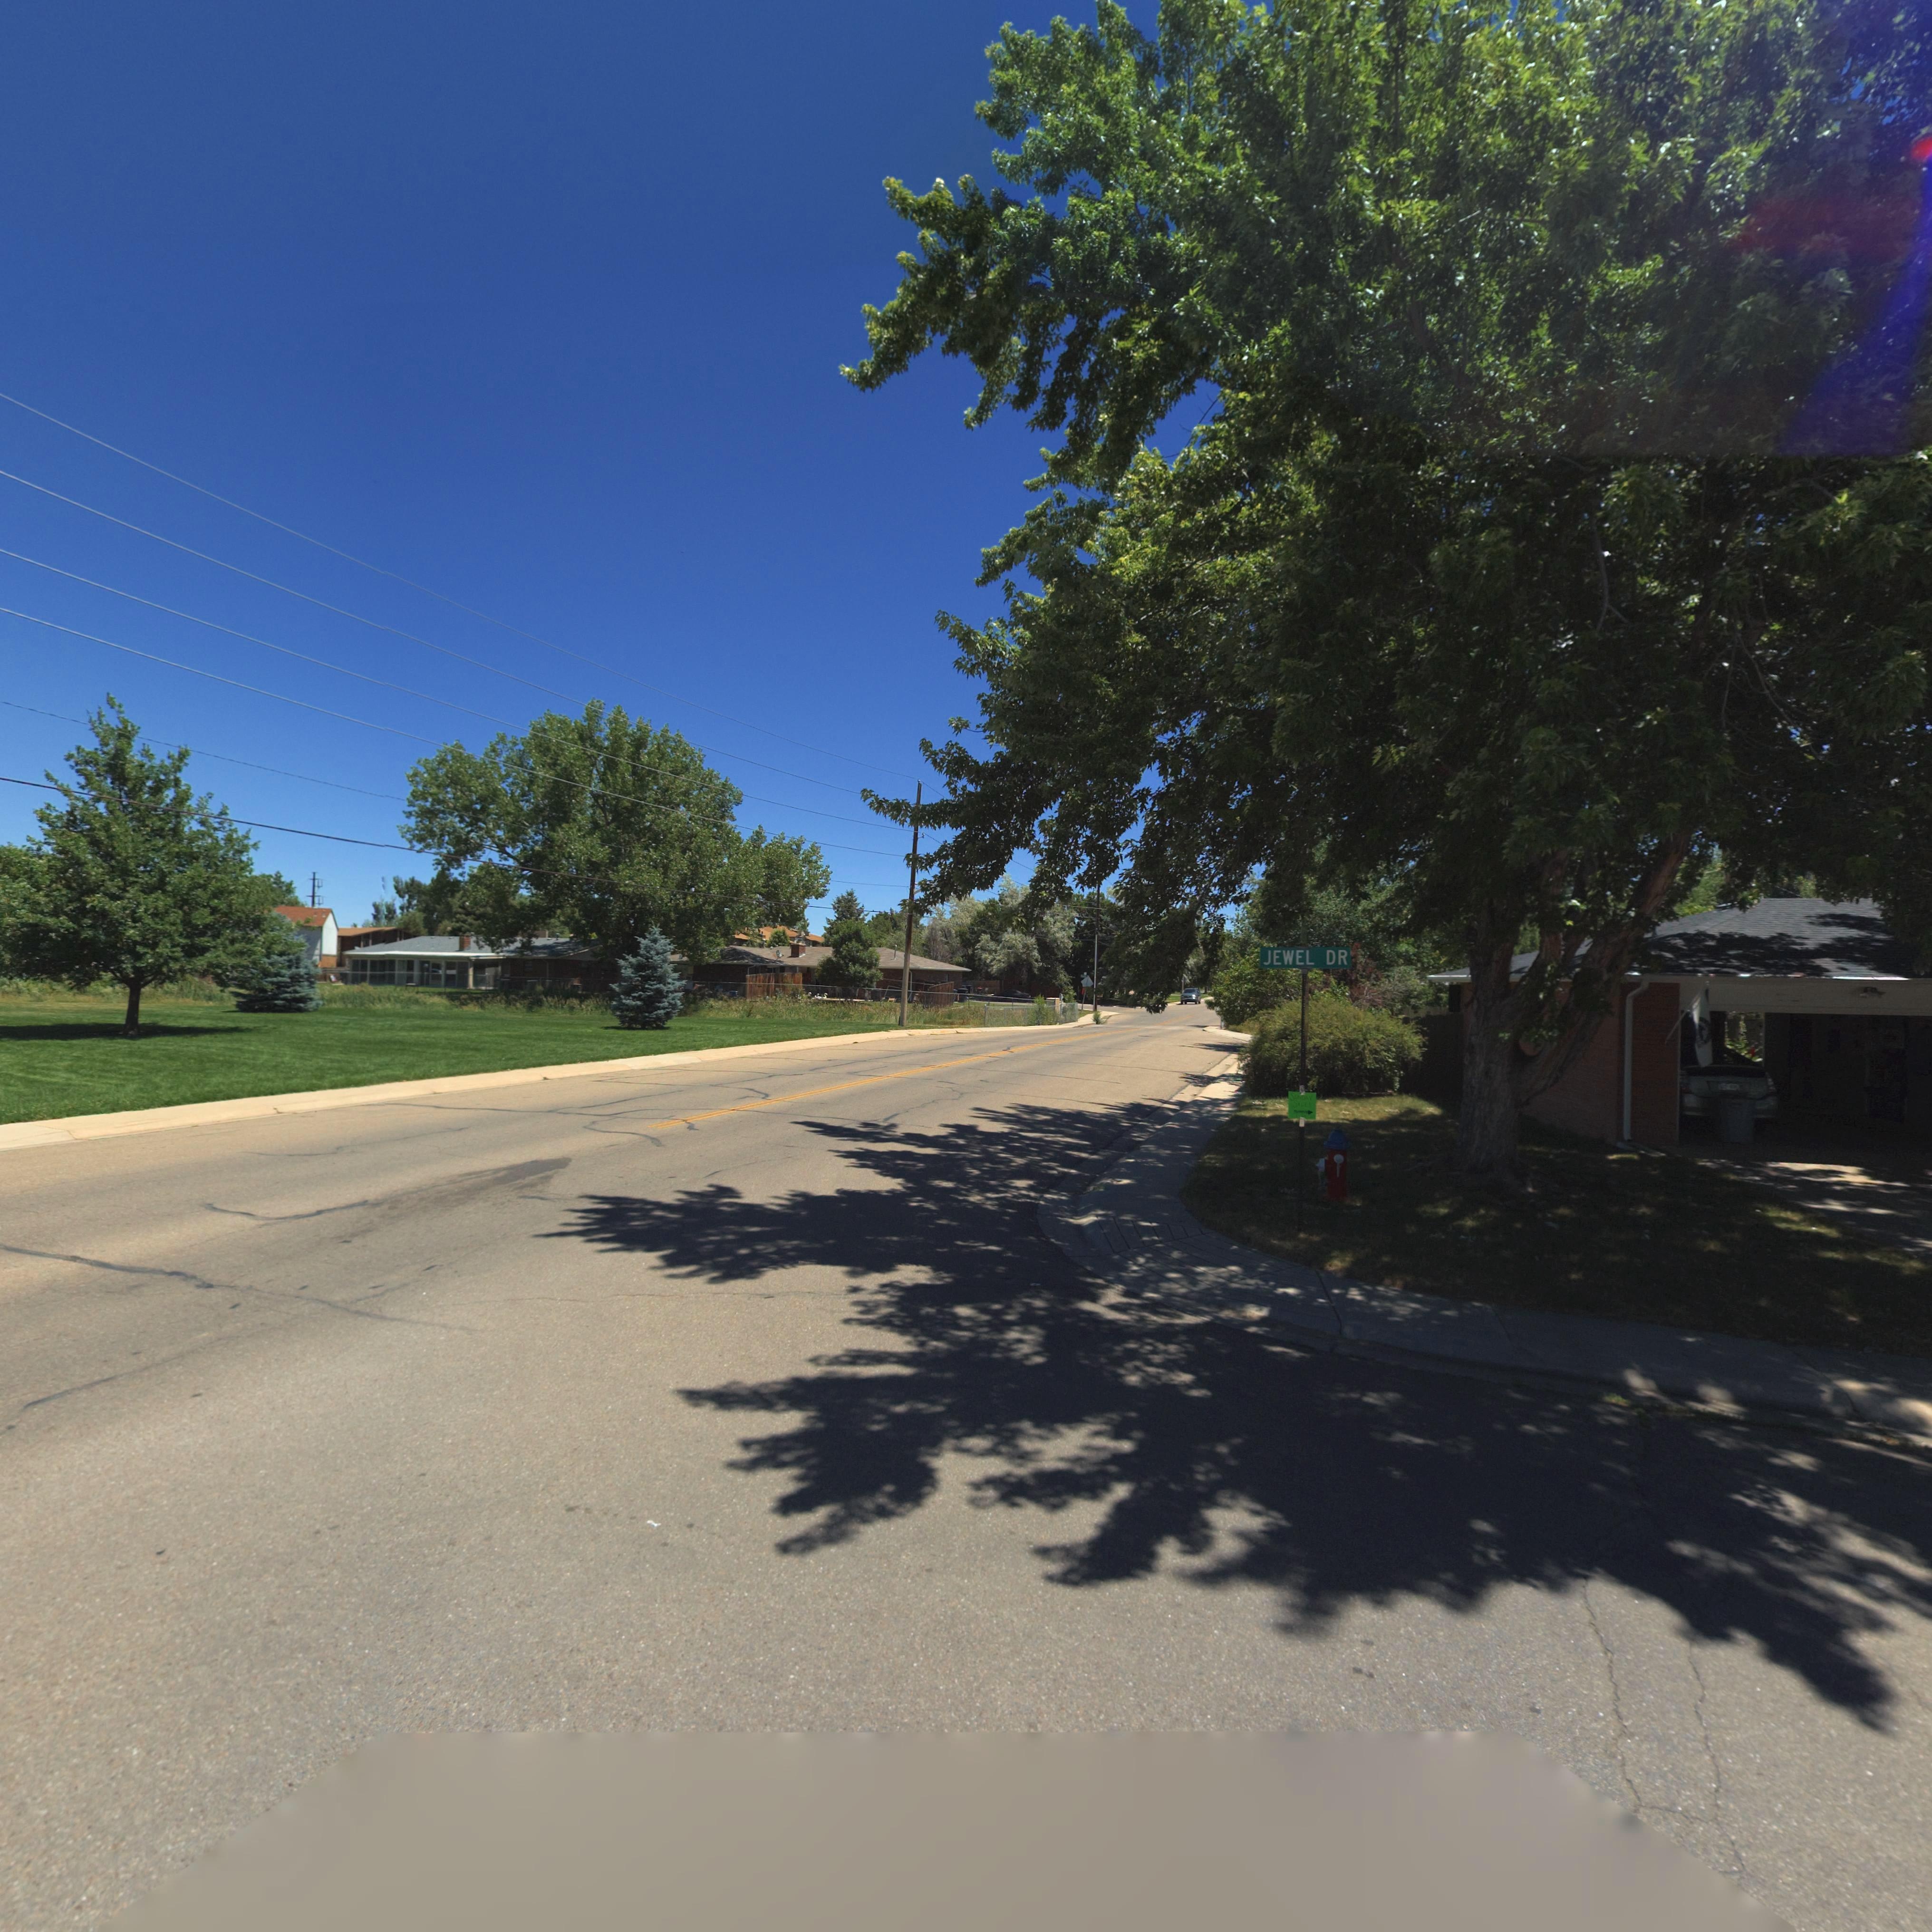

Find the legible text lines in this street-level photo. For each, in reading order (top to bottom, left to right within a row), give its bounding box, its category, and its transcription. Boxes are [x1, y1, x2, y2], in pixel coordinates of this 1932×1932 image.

[1262, 949, 1348, 966] StreetName: JEWEL DR